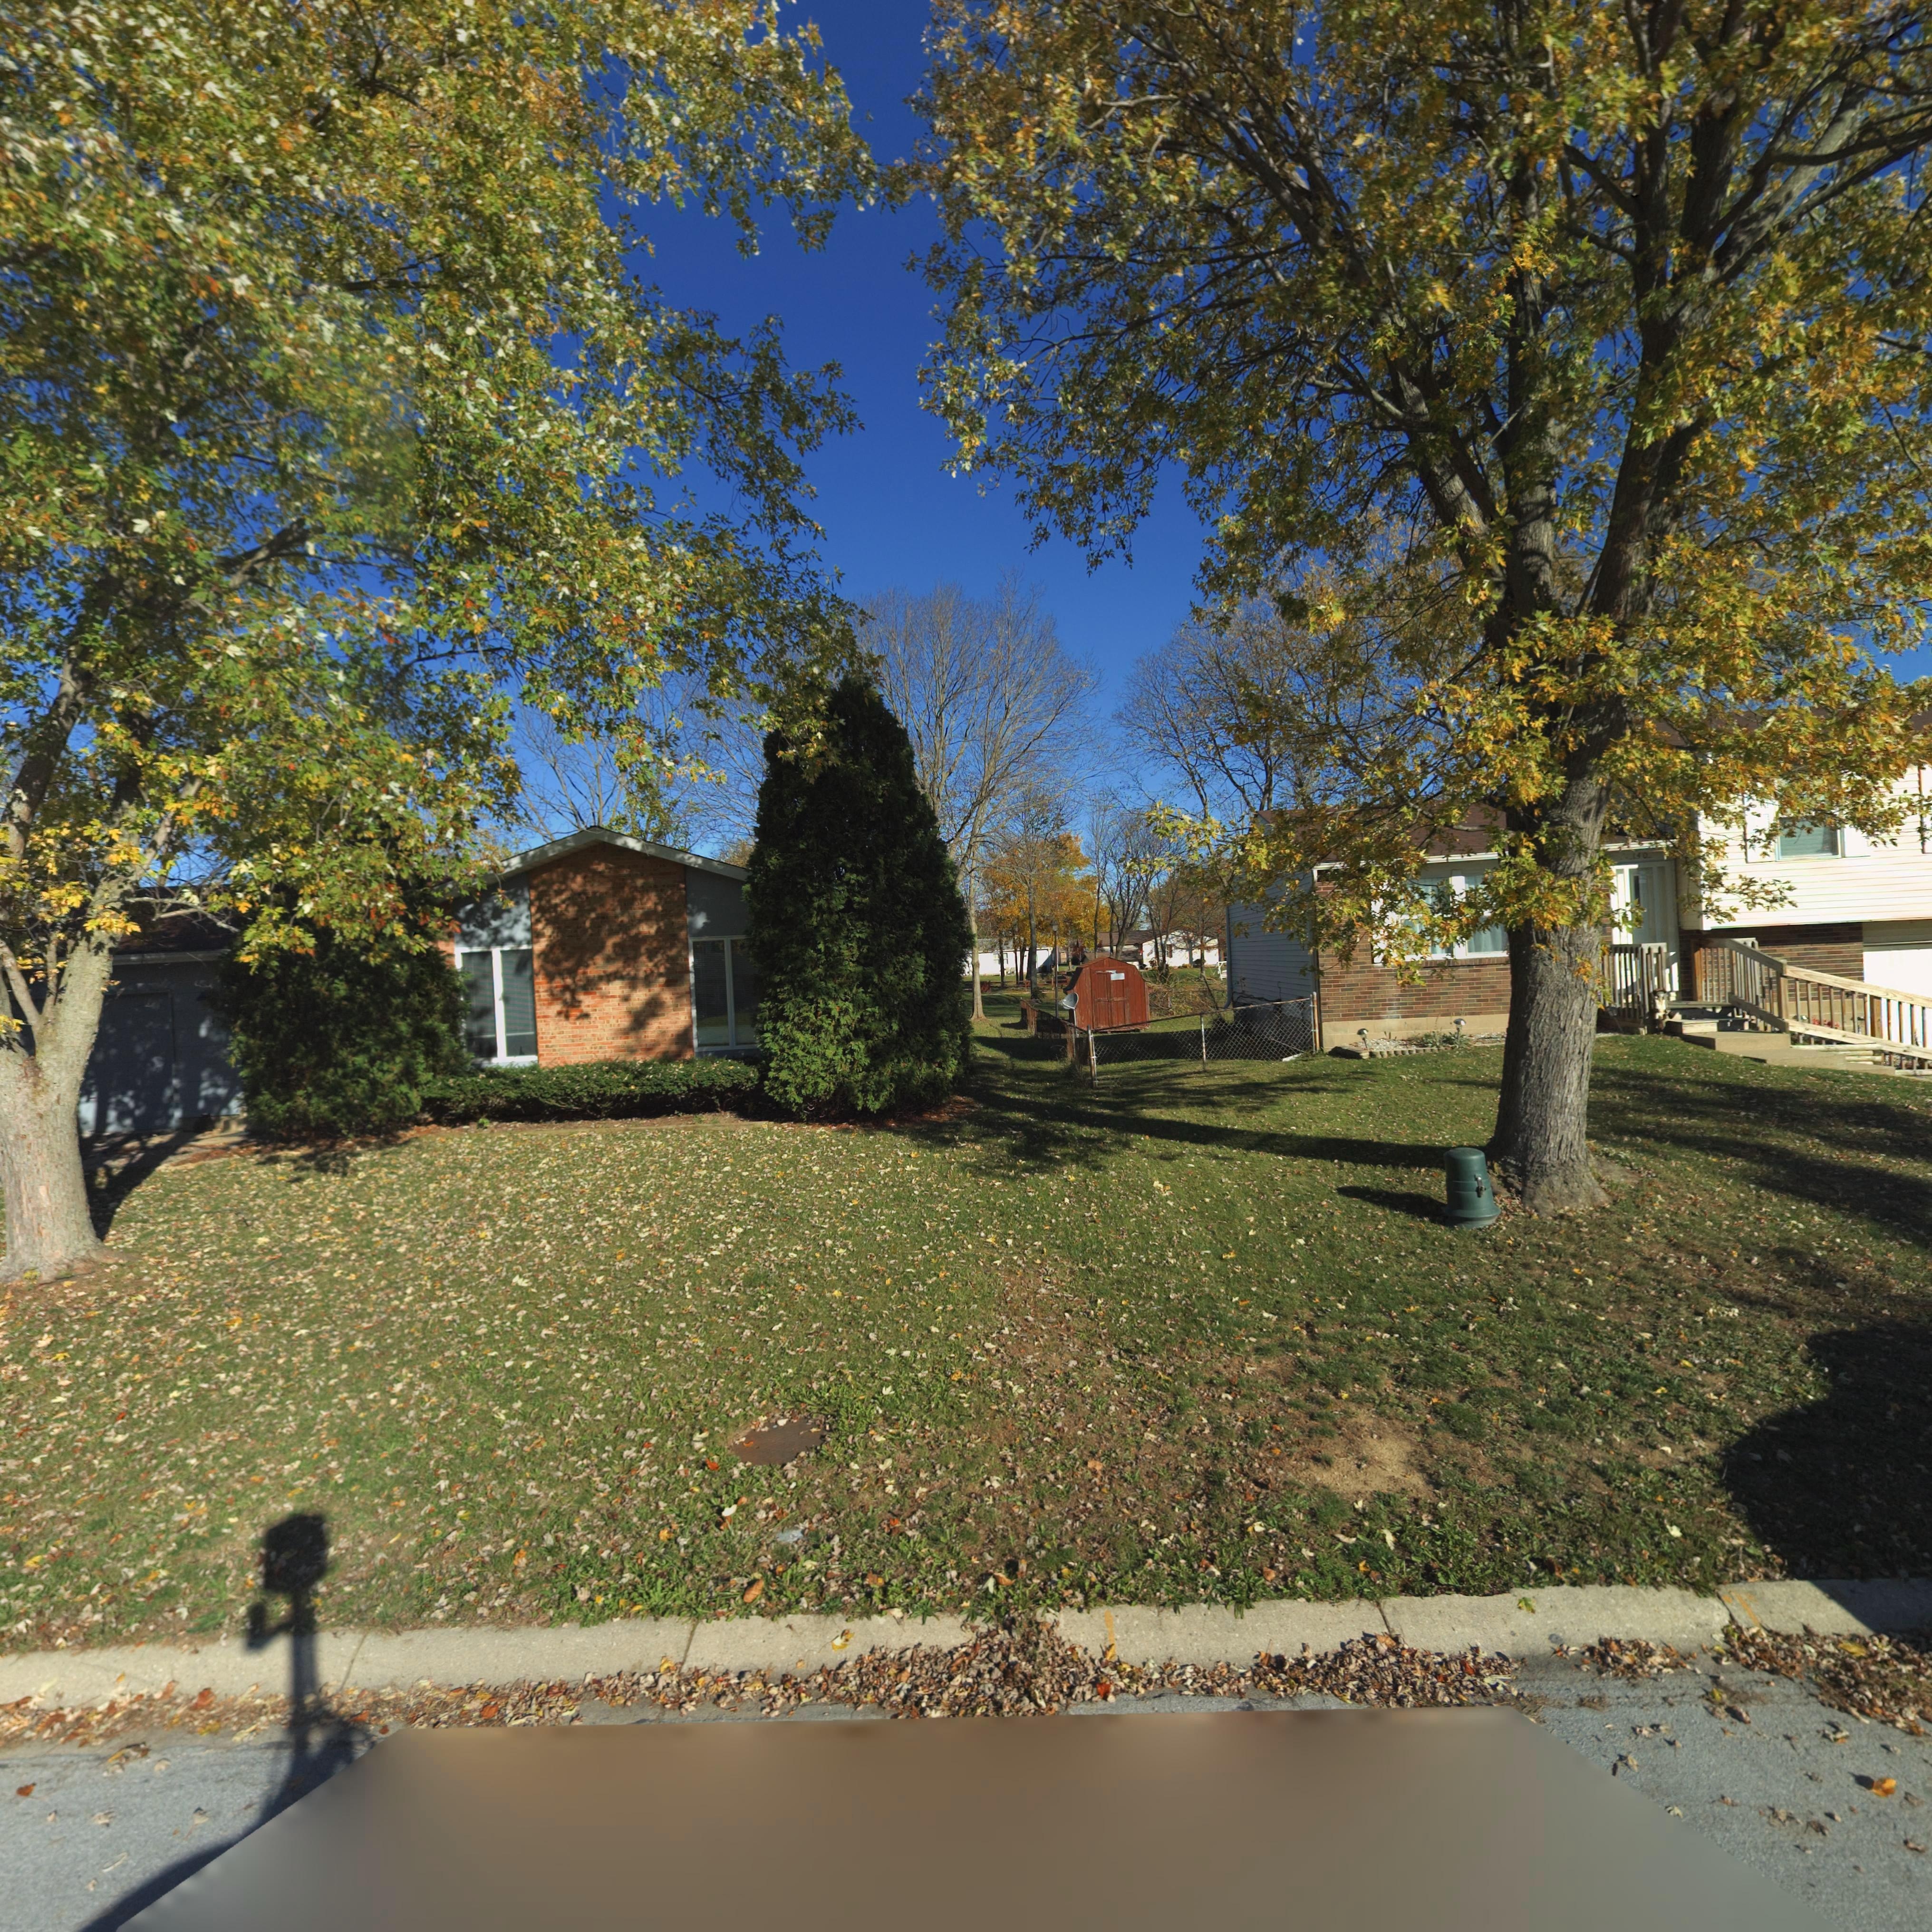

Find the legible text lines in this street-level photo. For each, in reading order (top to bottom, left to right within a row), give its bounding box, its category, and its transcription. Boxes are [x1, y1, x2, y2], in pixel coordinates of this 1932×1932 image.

[1632, 852, 1648, 860] StreetNumber: 140
[207, 1016, 216, 1027] StreetNumber: 14